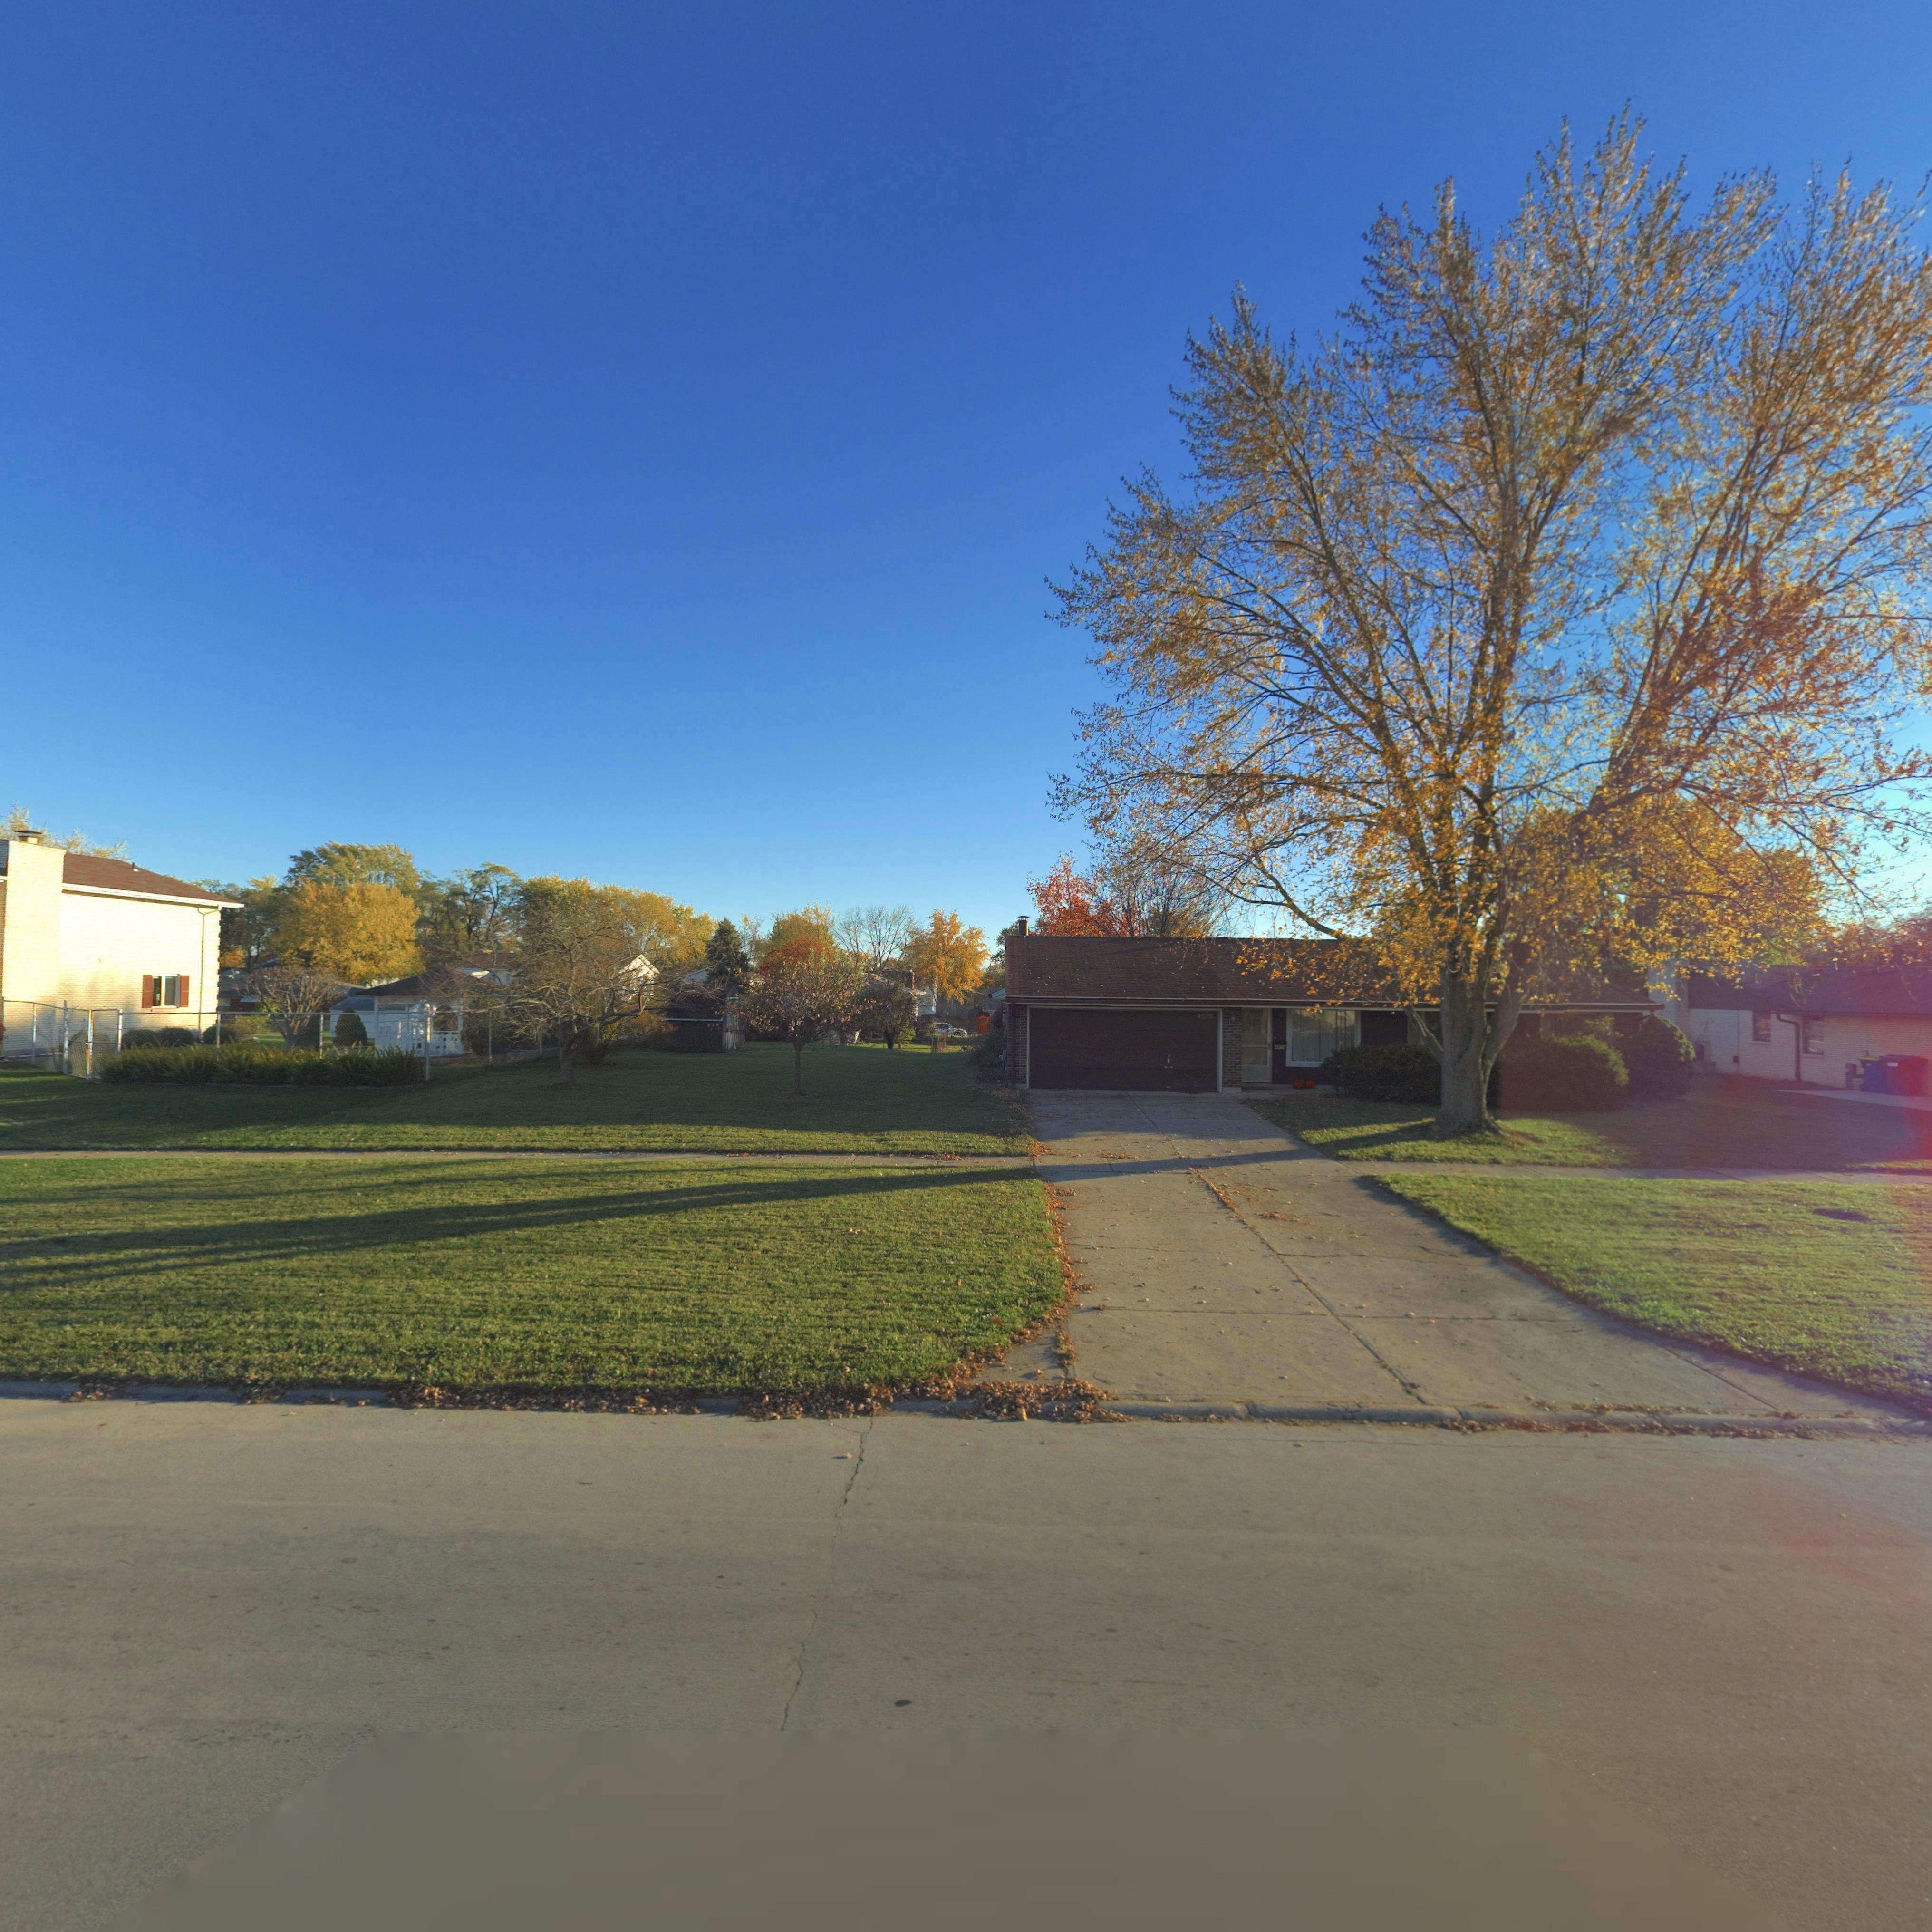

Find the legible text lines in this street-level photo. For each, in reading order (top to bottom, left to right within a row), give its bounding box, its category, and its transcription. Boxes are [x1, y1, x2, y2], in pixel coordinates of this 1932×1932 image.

[1197, 1013, 1214, 1020] StreetNumber: 4976
[1274, 1044, 1286, 1049] StreetNumber: 497*